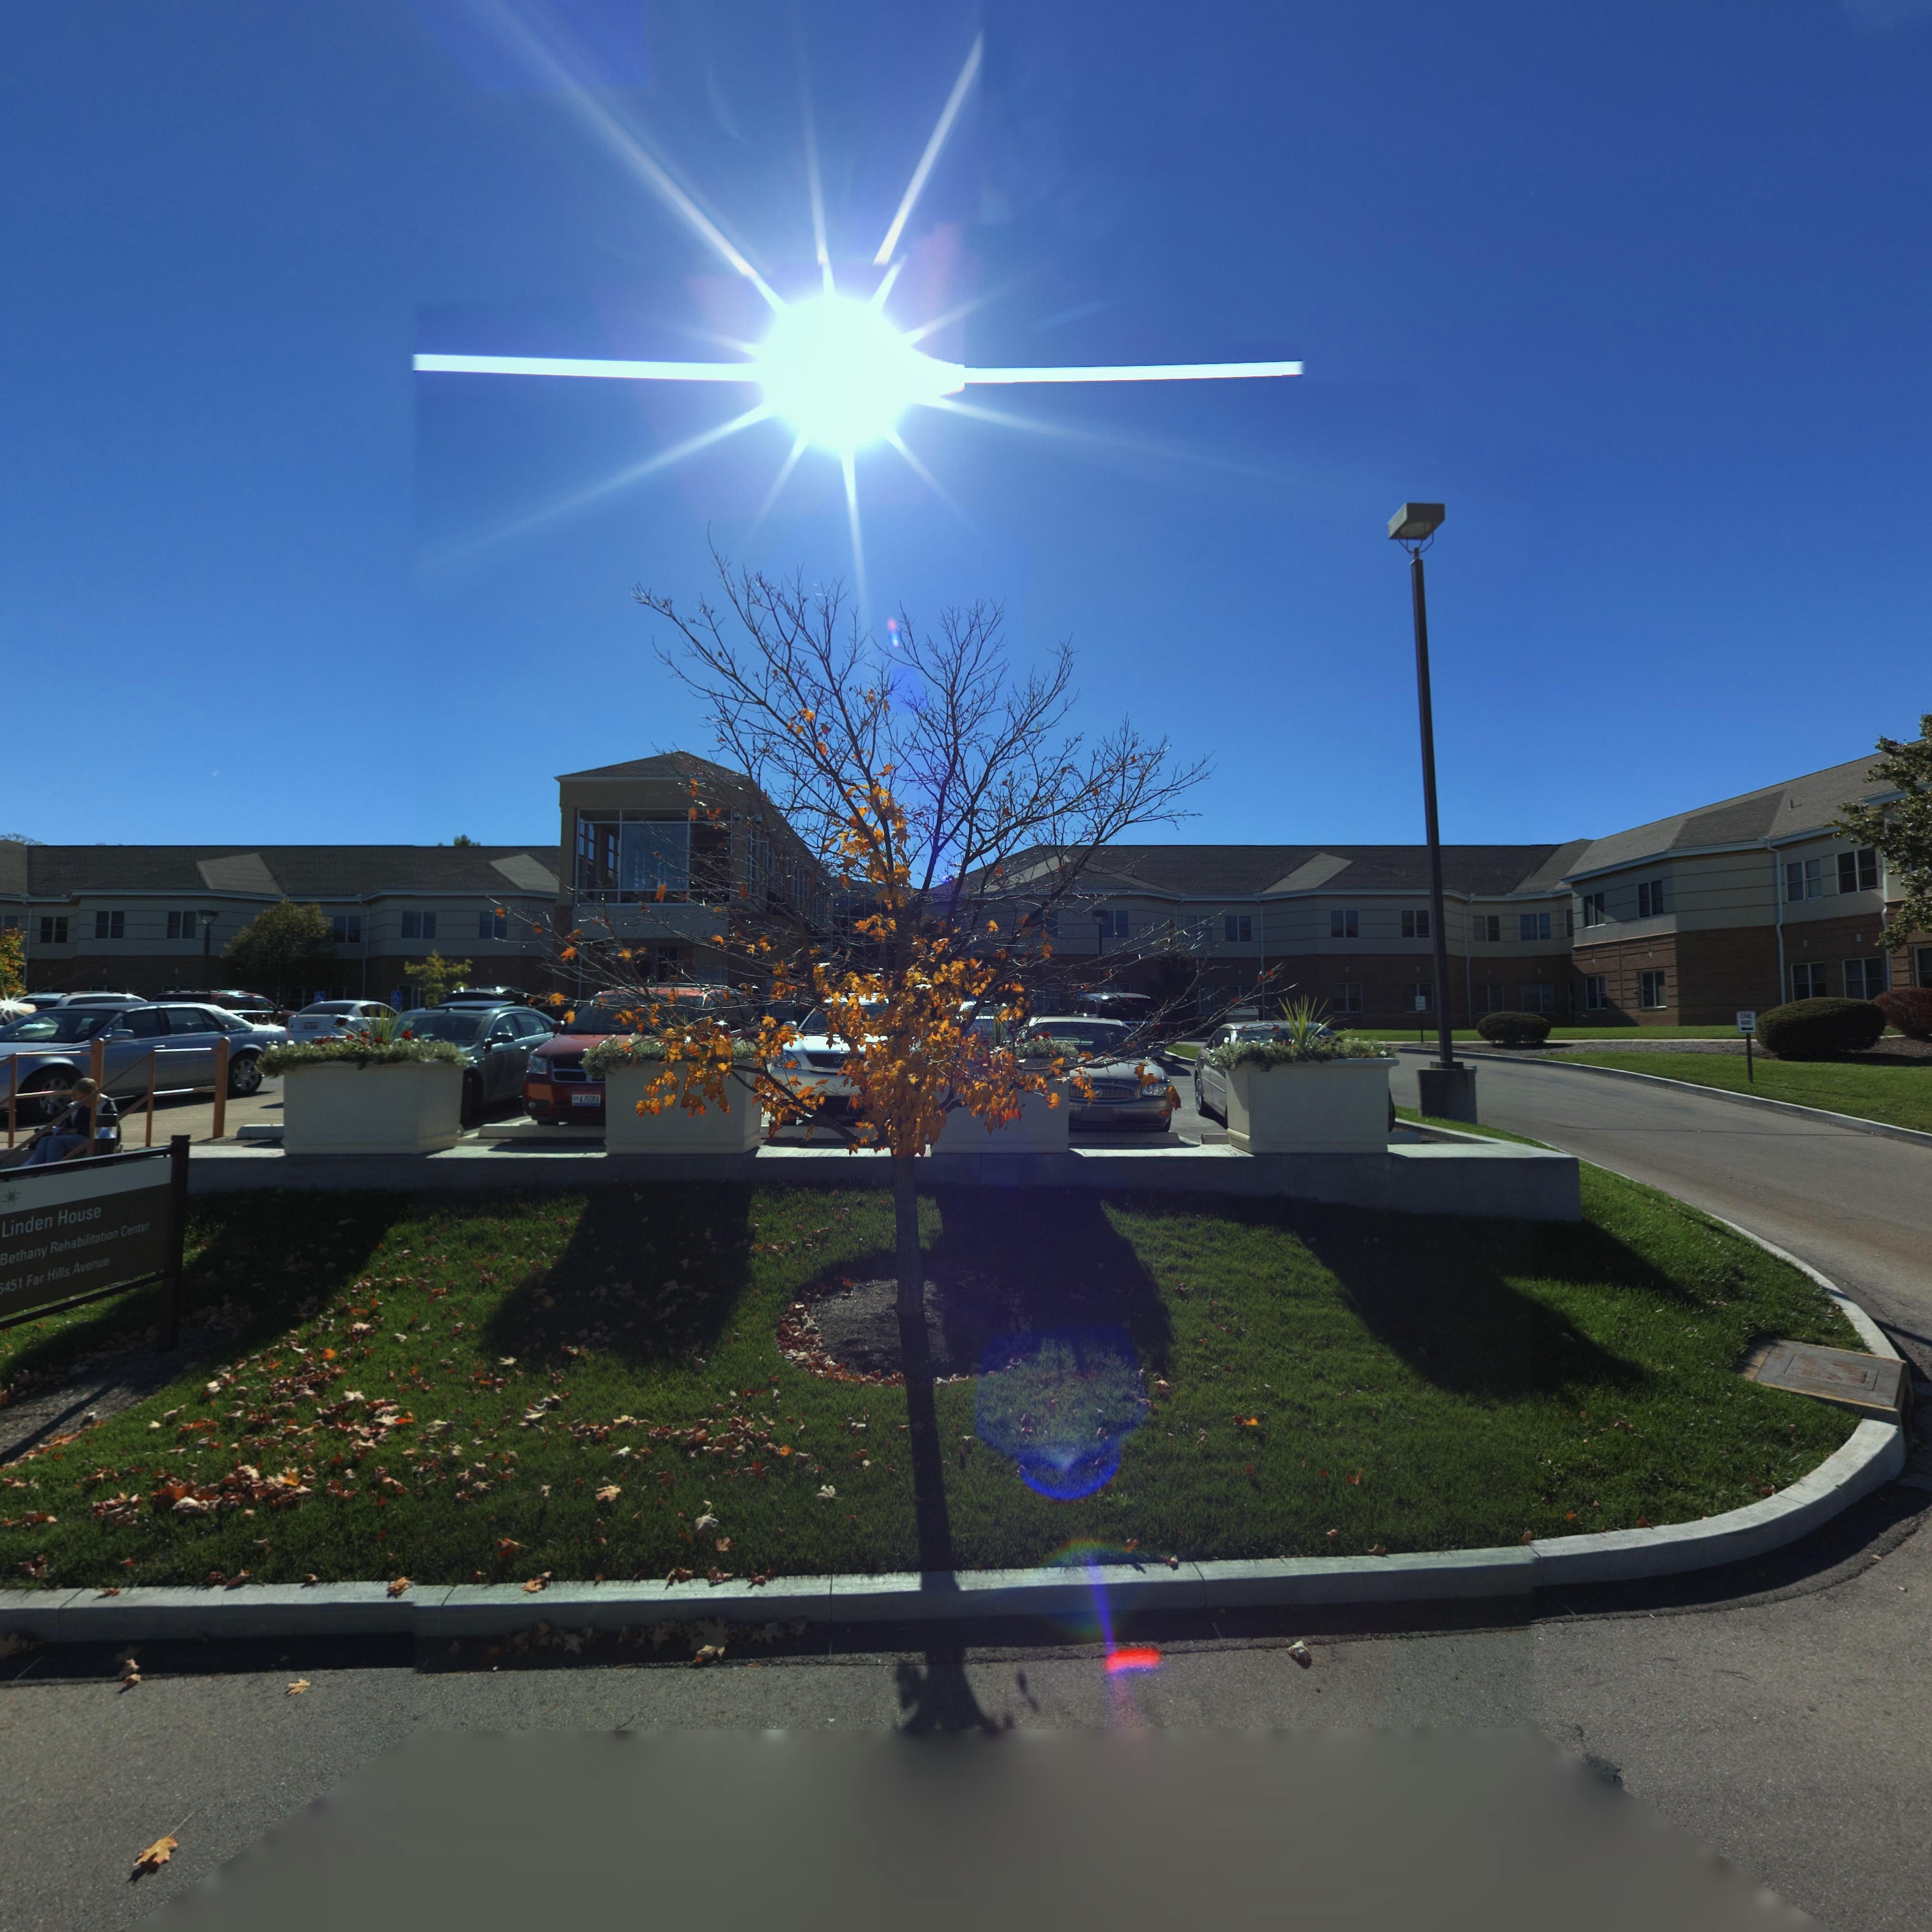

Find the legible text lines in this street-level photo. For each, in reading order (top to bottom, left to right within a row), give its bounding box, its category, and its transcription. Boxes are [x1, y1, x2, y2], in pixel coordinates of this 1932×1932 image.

[579, 1095, 600, 1103] None: AJ50RA
[0, 1206, 102, 1239] None: Linden House
[0, 1221, 151, 1267] BusinessName: Bethany Rehabilitation Center
[2, 1276, 23, 1294] StreetNumber: 451
[26, 1256, 111, 1288] StreetName: Far Hills Avenue